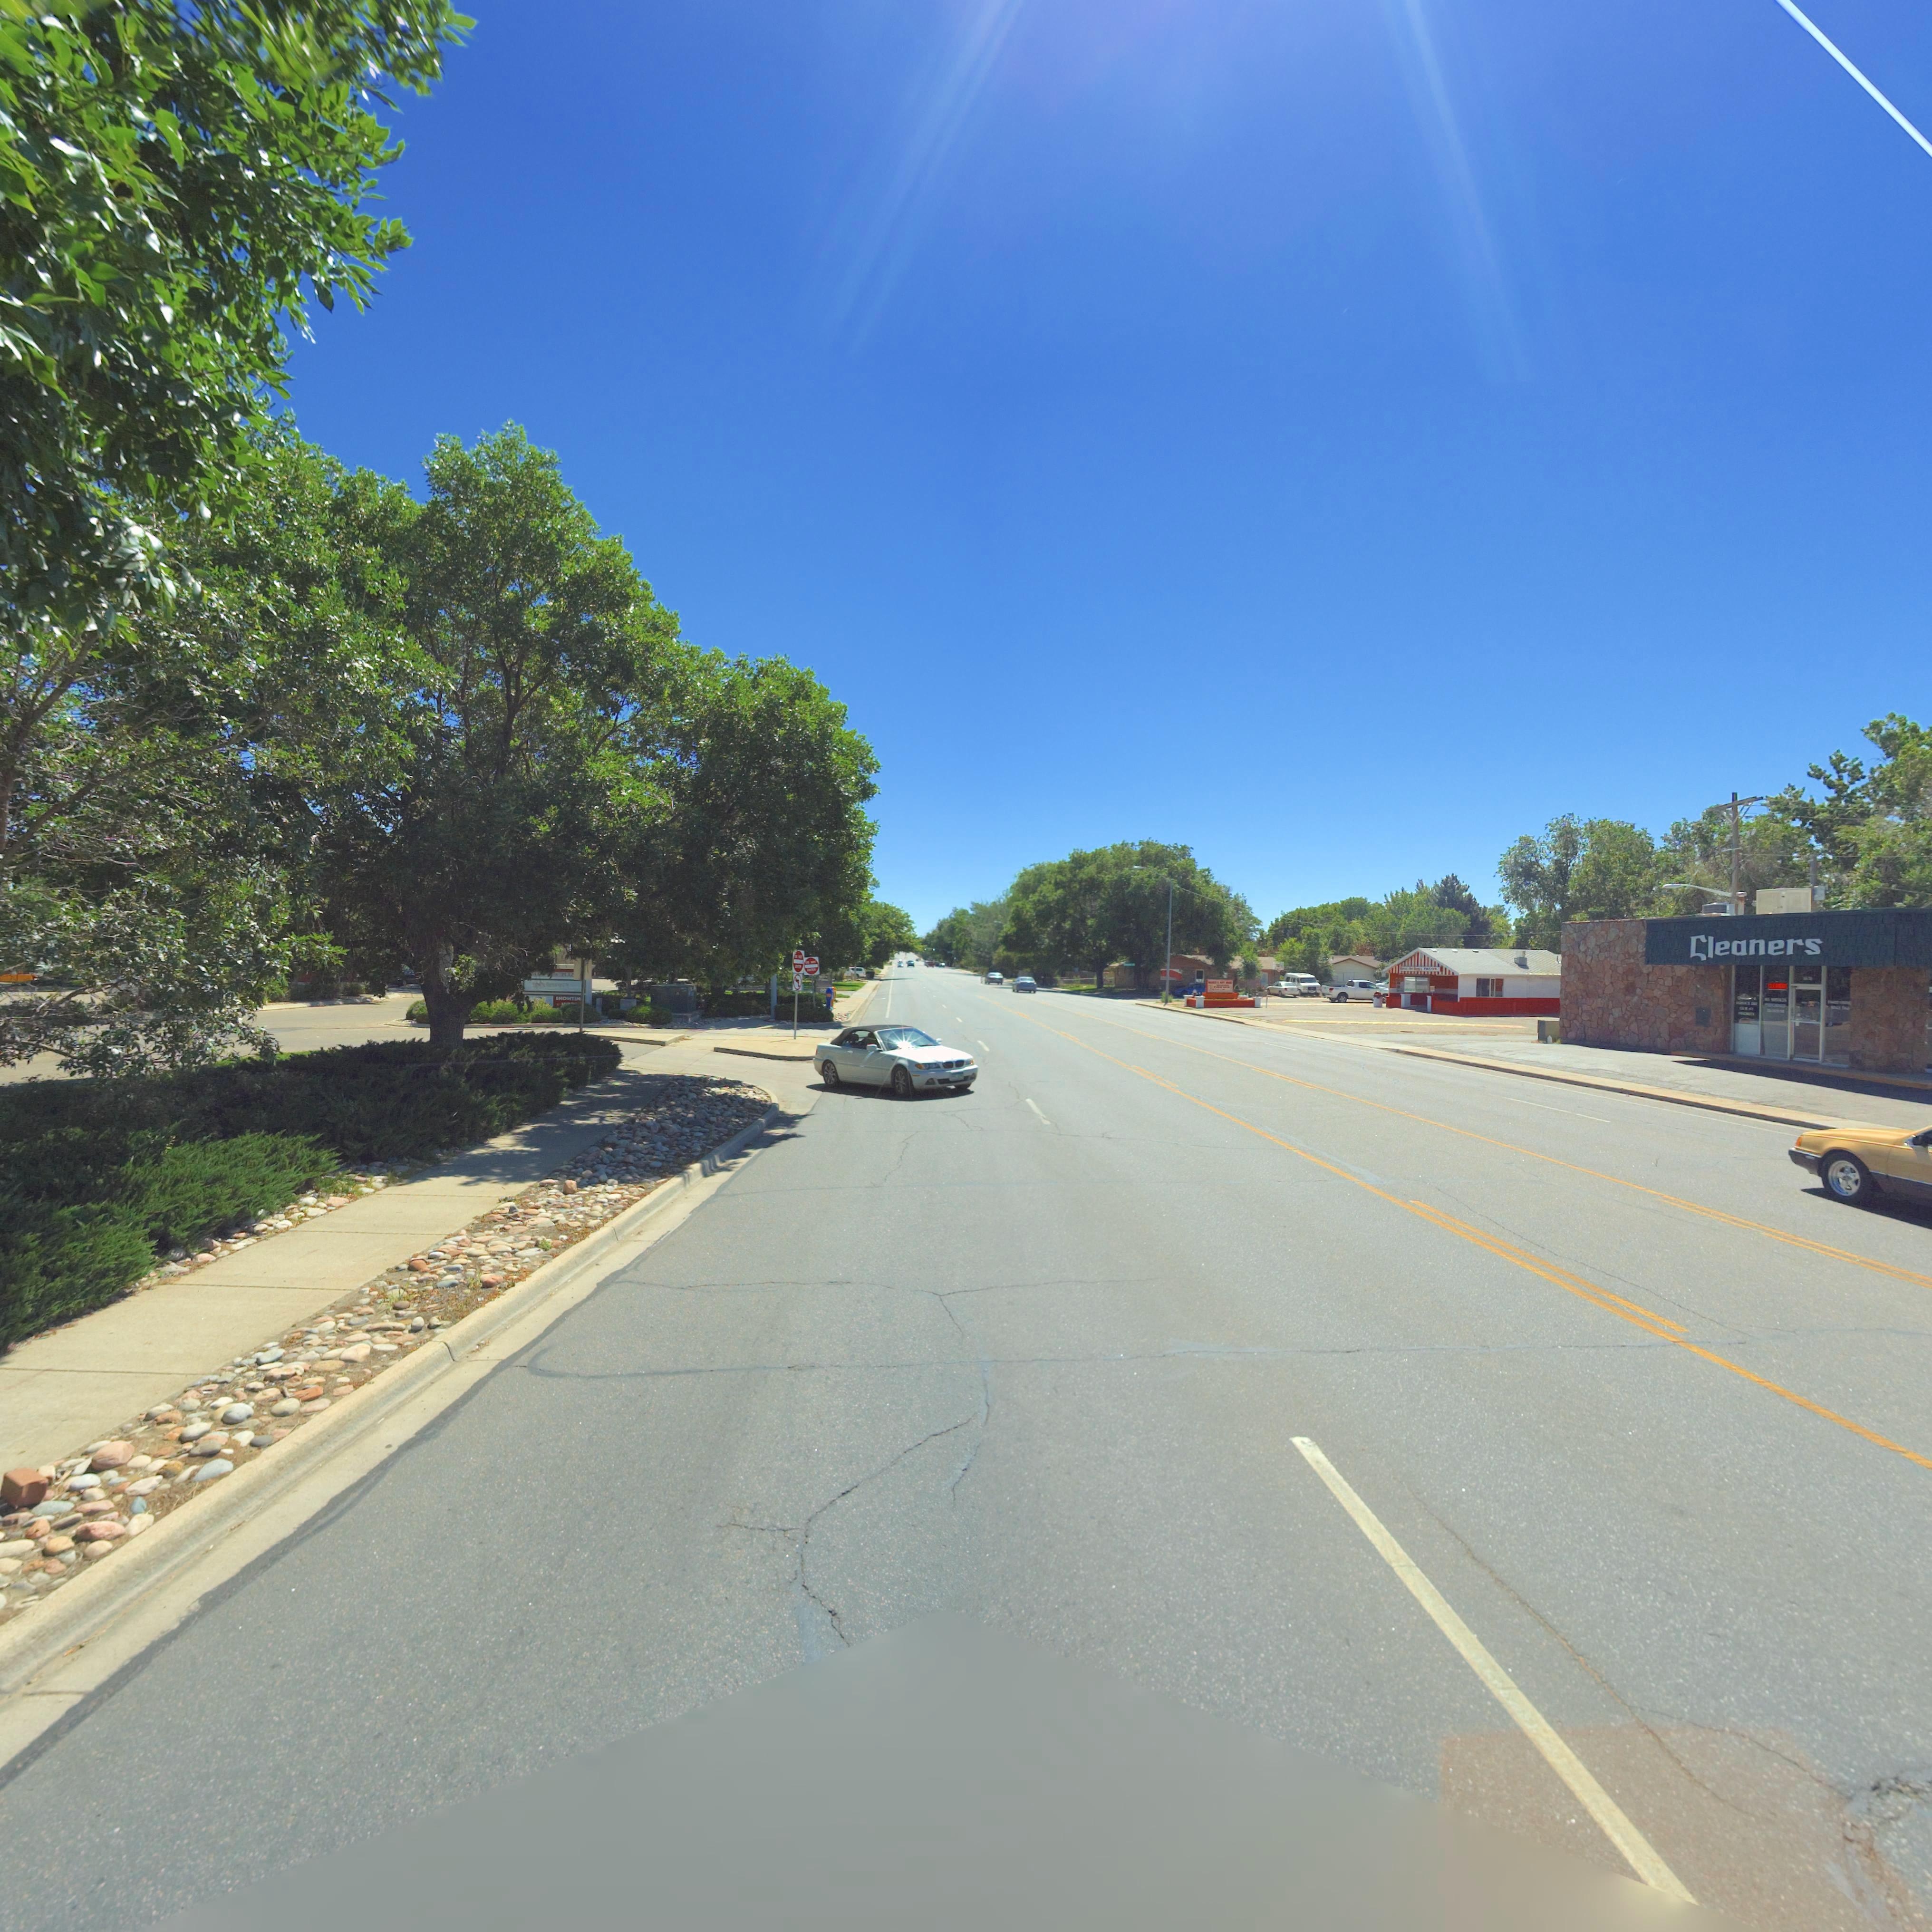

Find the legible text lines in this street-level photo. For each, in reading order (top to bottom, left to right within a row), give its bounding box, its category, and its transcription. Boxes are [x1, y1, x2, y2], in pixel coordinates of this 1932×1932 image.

[1400, 966, 1437, 971] BusinessName: *****'S *** **** * TACOS
[530, 971, 574, 976] BusinessName: ES***** *LAZ*
[555, 995, 581, 1001] BusinessName: SHOWTIM